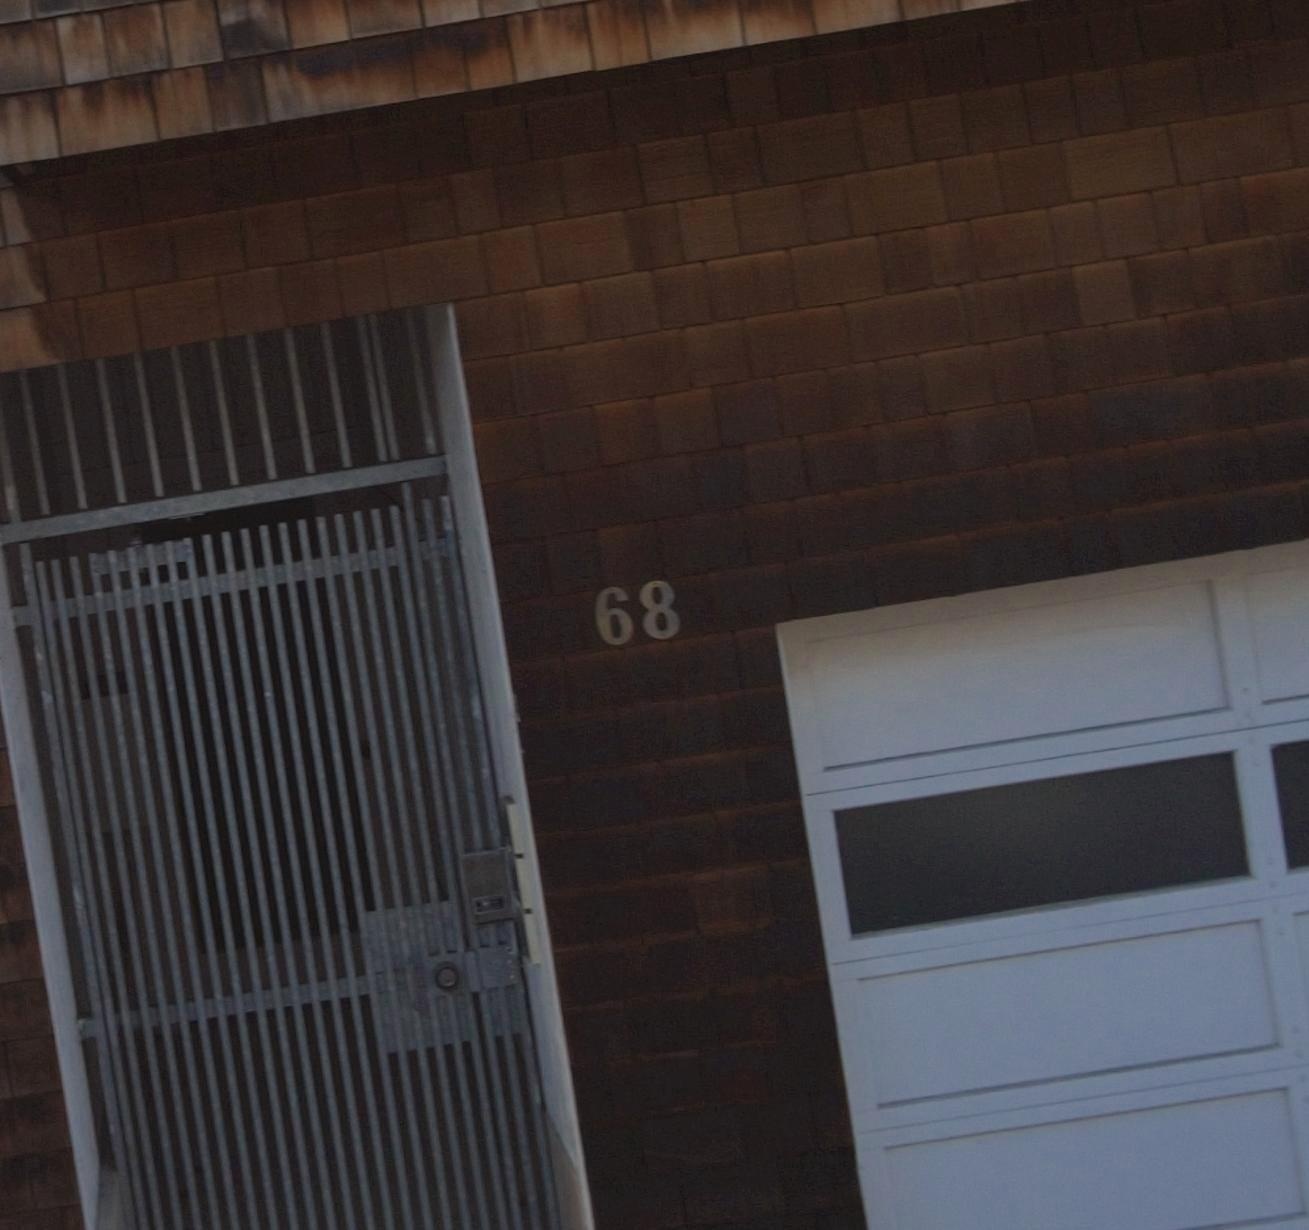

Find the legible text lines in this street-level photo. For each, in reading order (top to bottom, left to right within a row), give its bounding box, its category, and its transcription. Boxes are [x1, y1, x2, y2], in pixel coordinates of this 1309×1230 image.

[580, 565, 694, 659] StreetNumber: 68